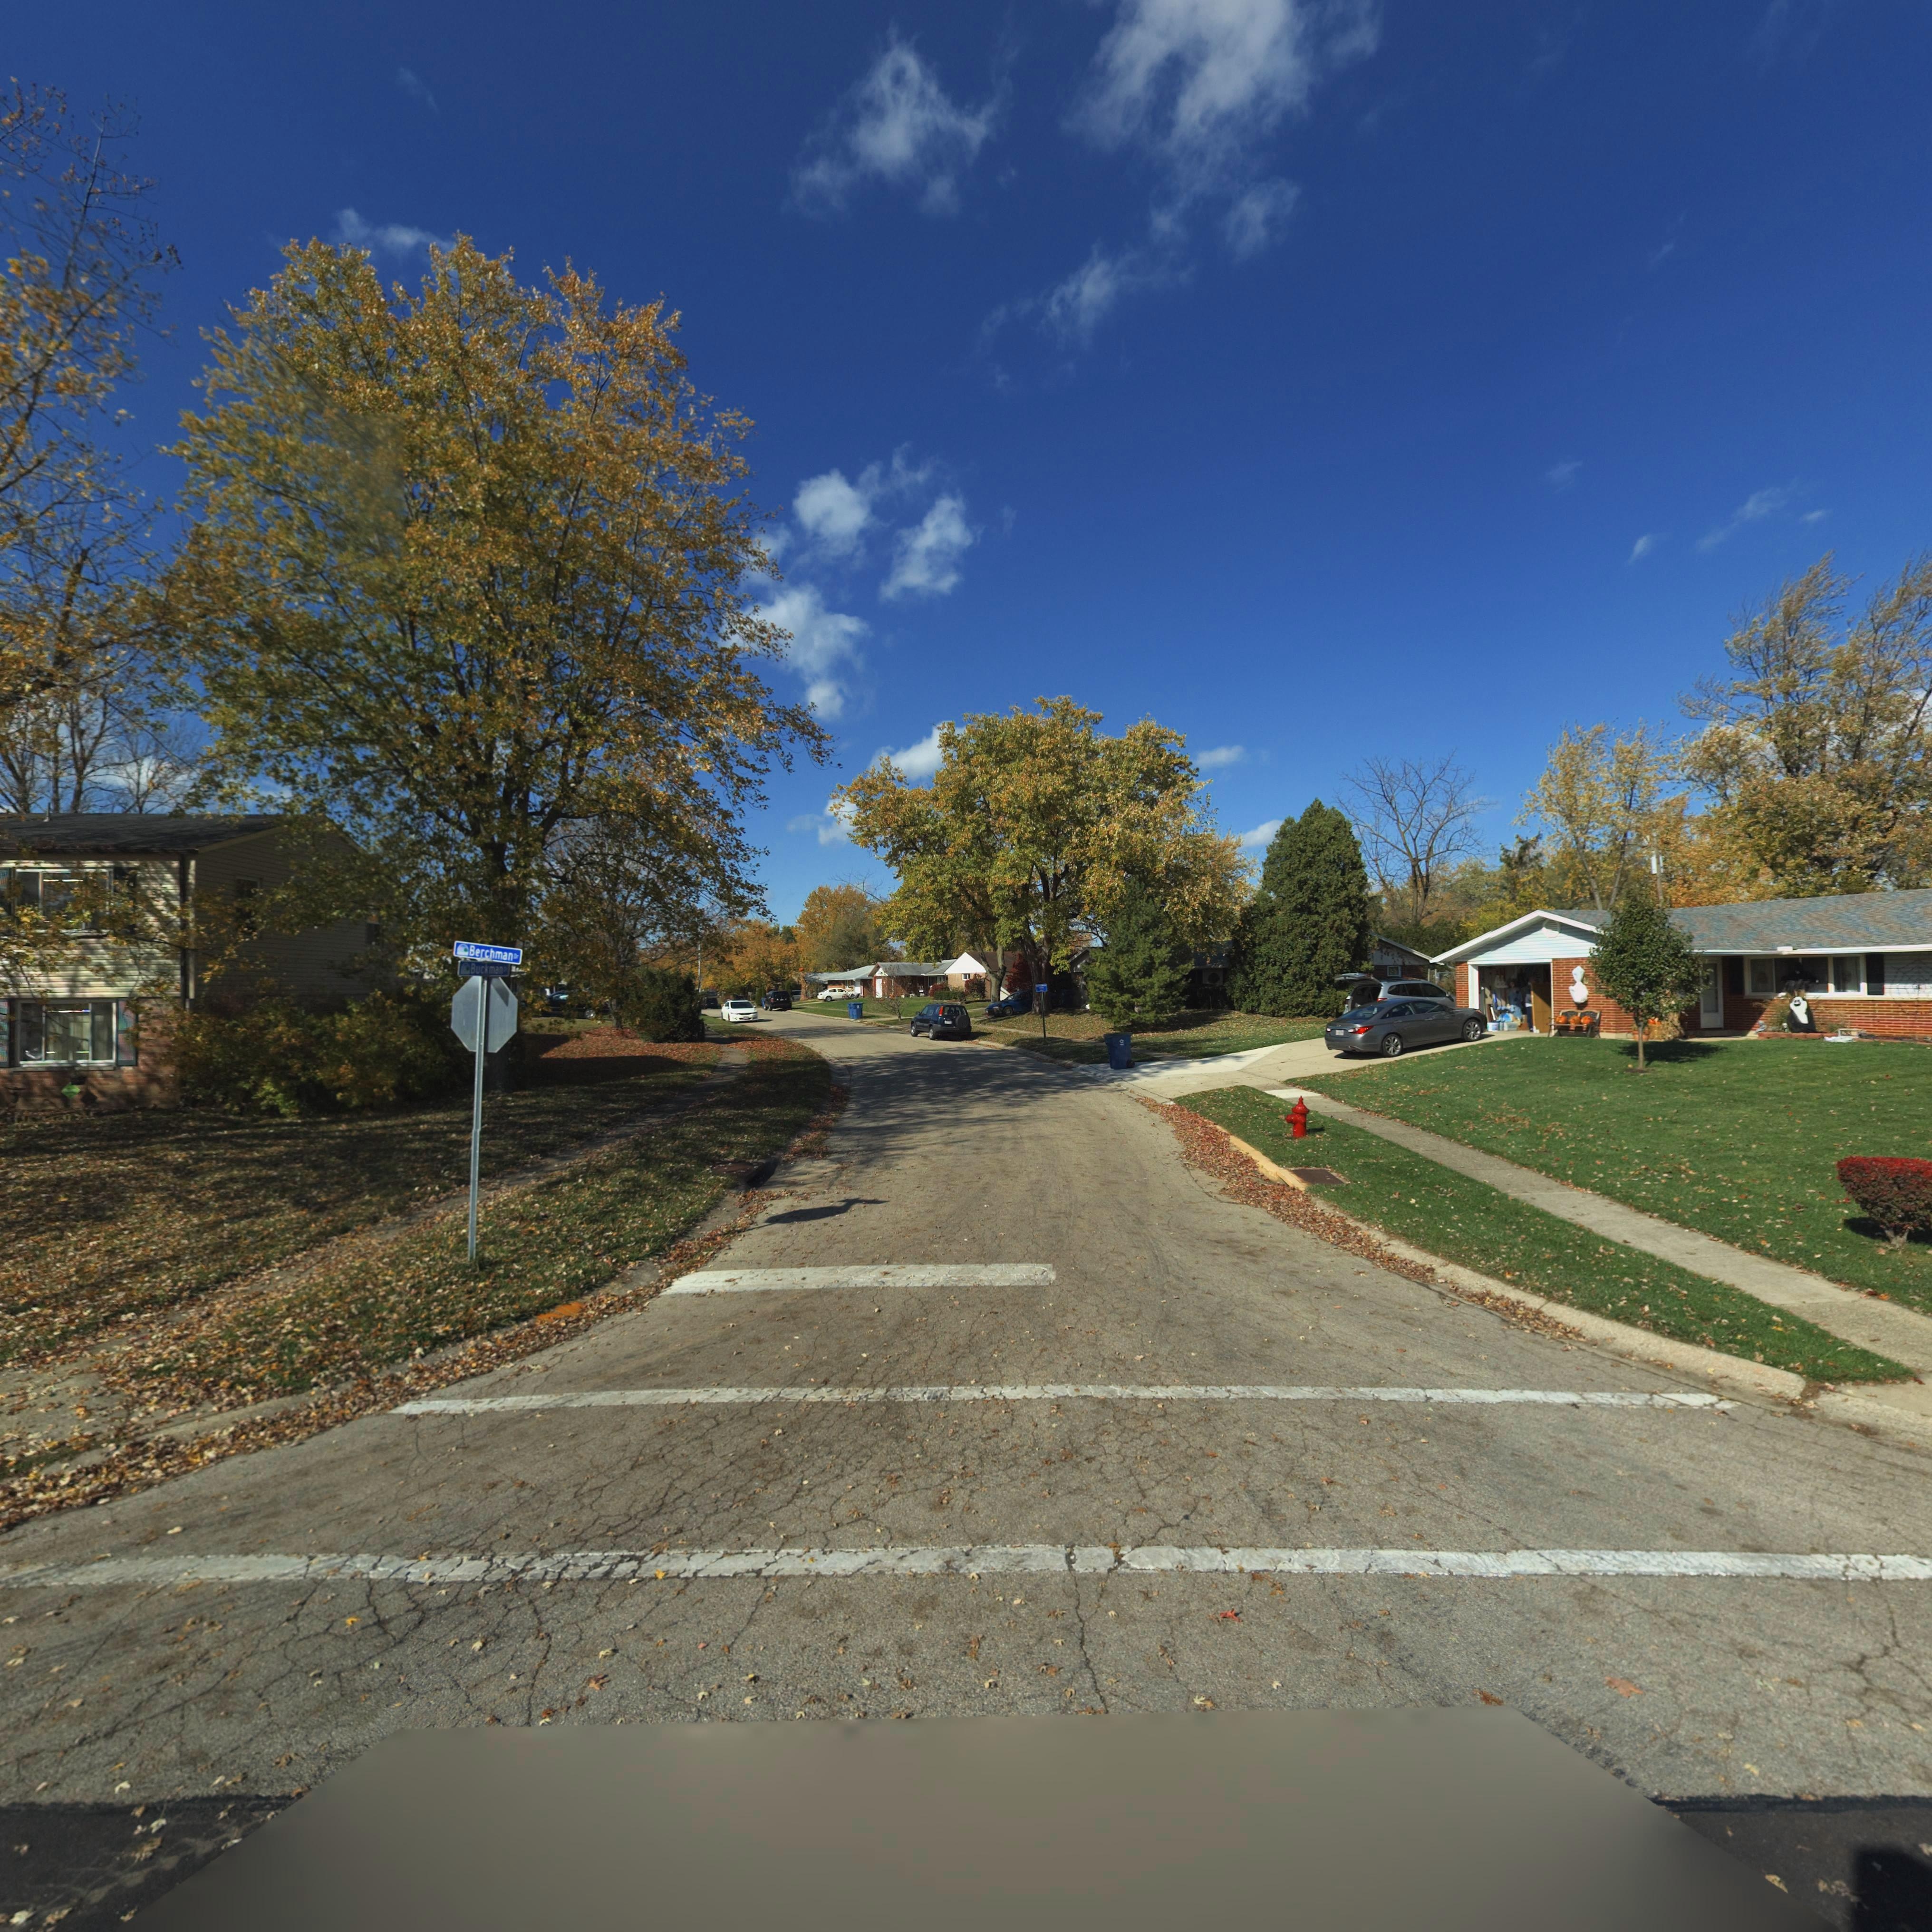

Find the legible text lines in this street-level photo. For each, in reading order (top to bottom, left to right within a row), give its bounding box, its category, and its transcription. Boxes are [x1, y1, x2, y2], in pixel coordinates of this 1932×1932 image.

[1847, 1030, 1851, 1035] StreetNumber: 3